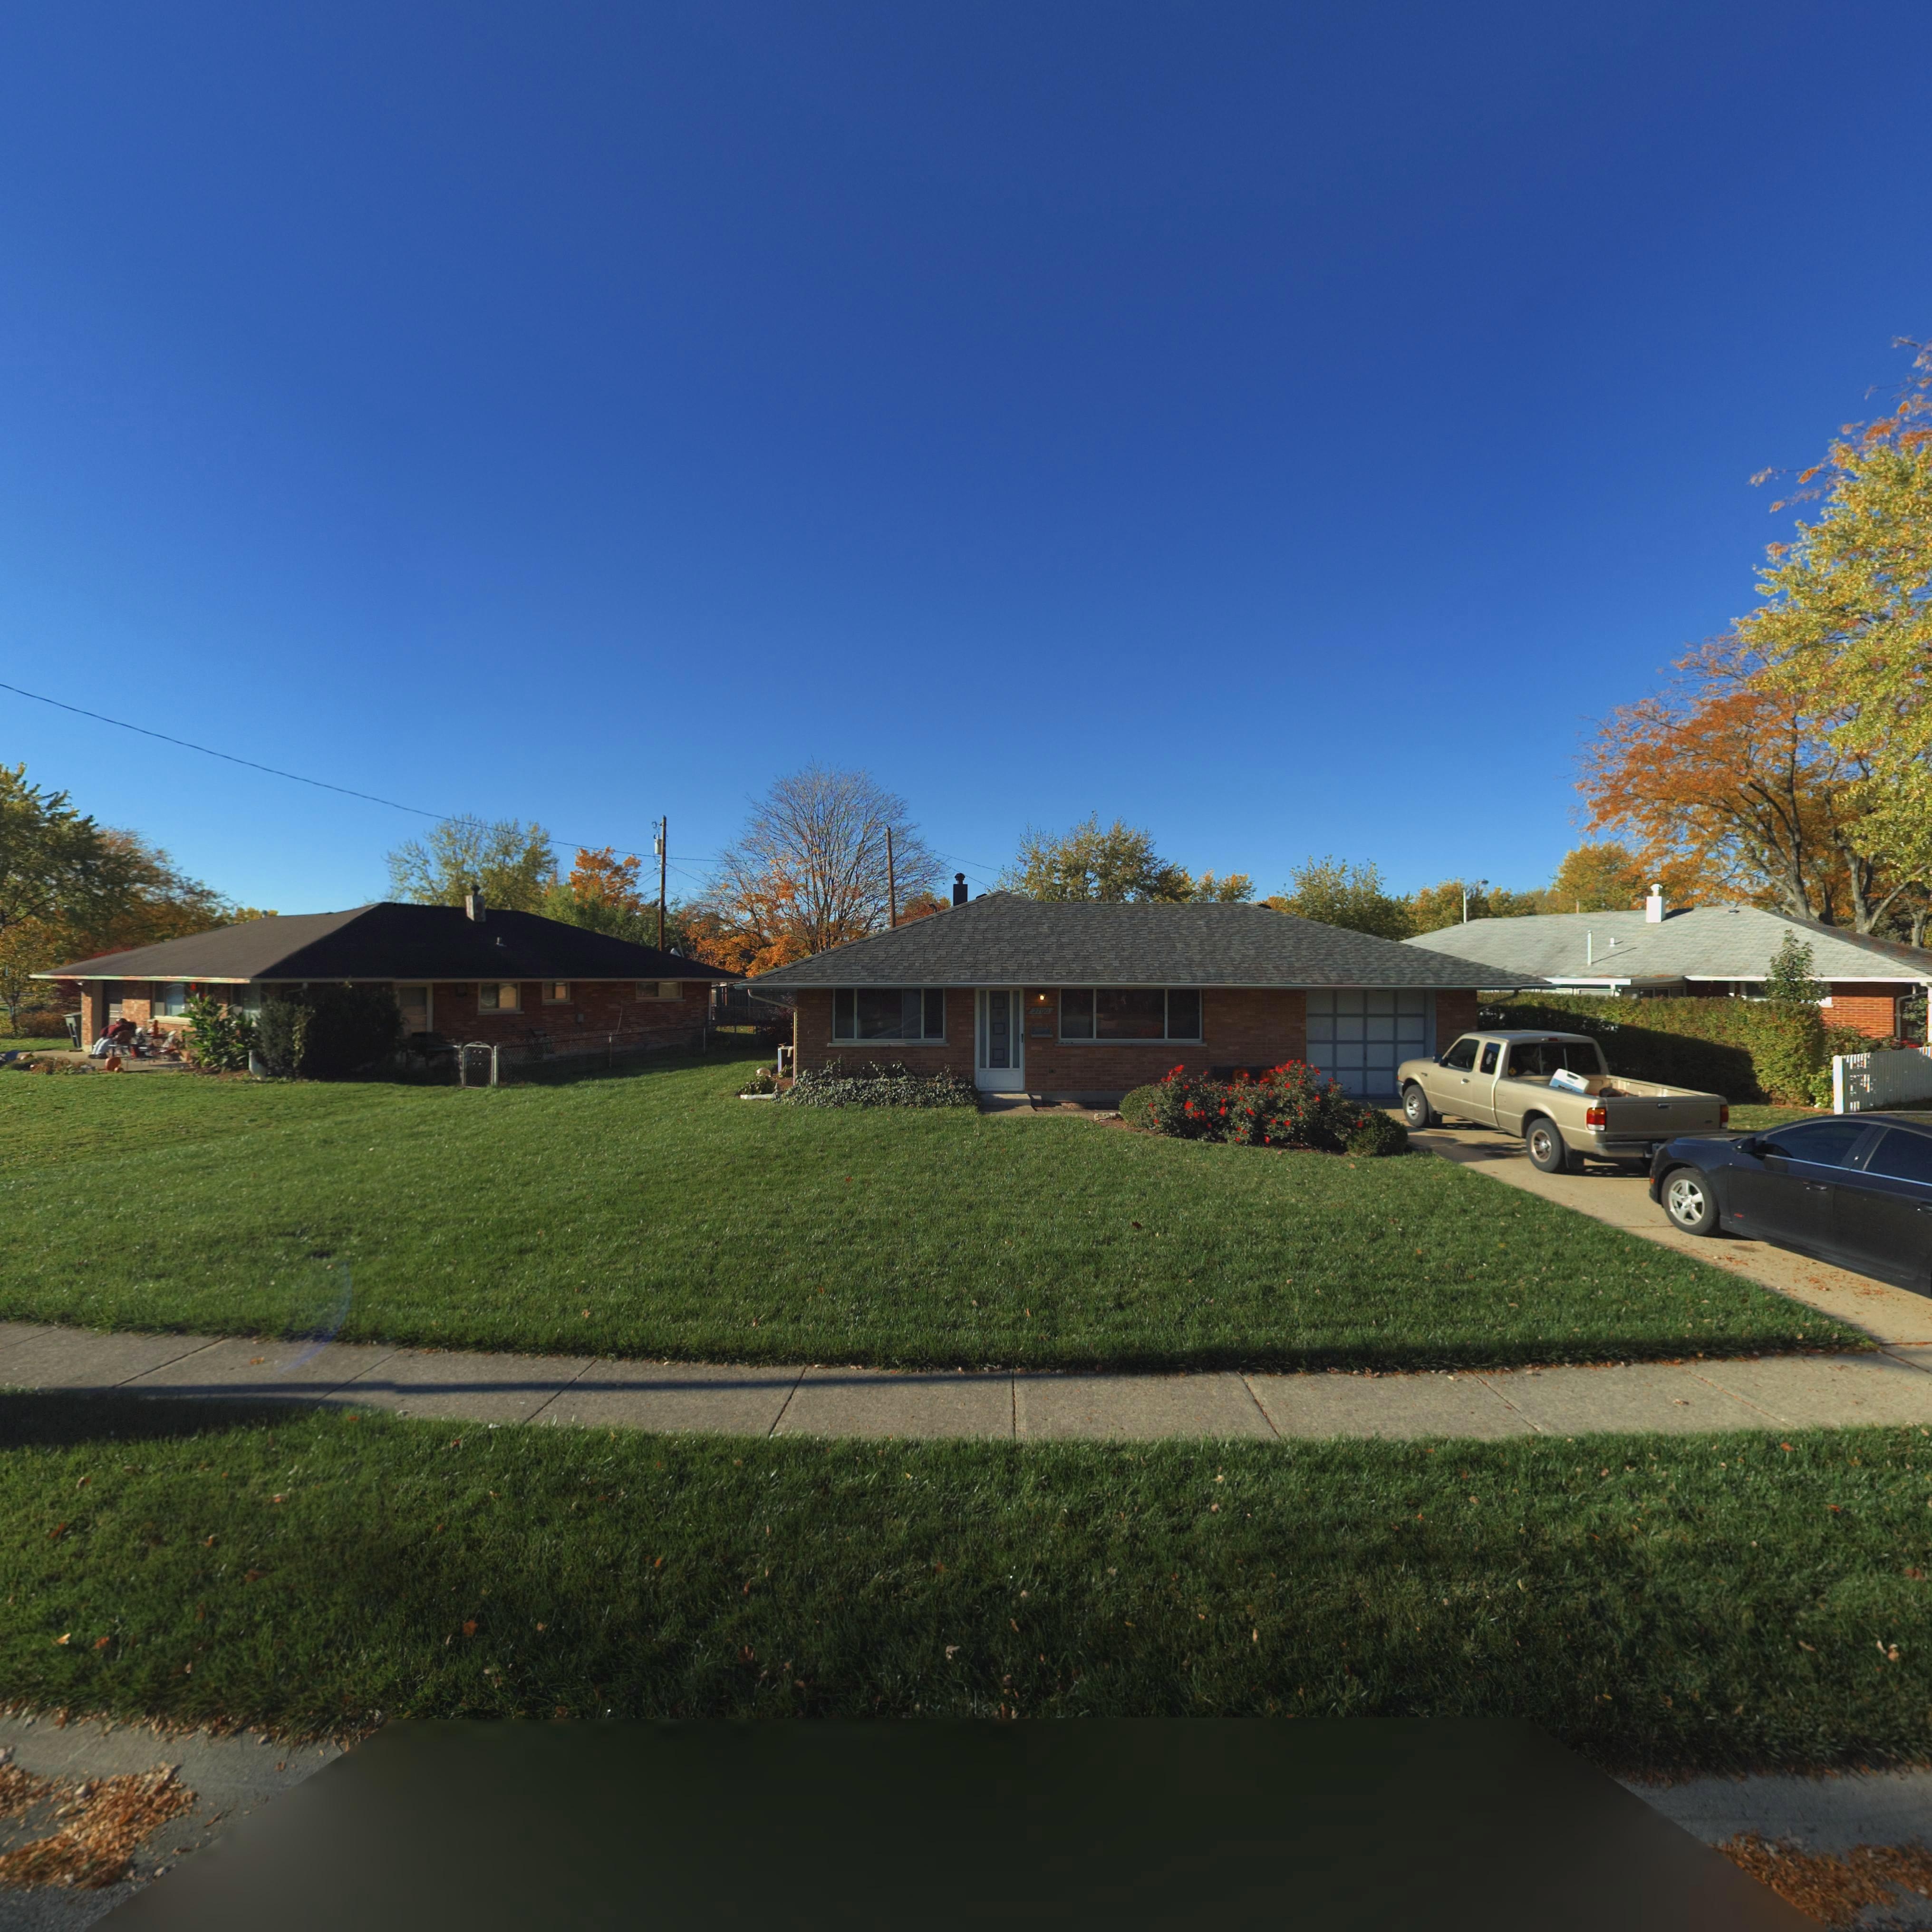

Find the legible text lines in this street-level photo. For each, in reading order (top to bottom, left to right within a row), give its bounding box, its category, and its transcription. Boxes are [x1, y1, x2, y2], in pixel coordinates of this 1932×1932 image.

[1031, 1007, 1050, 1014] StreetNumber: 2700